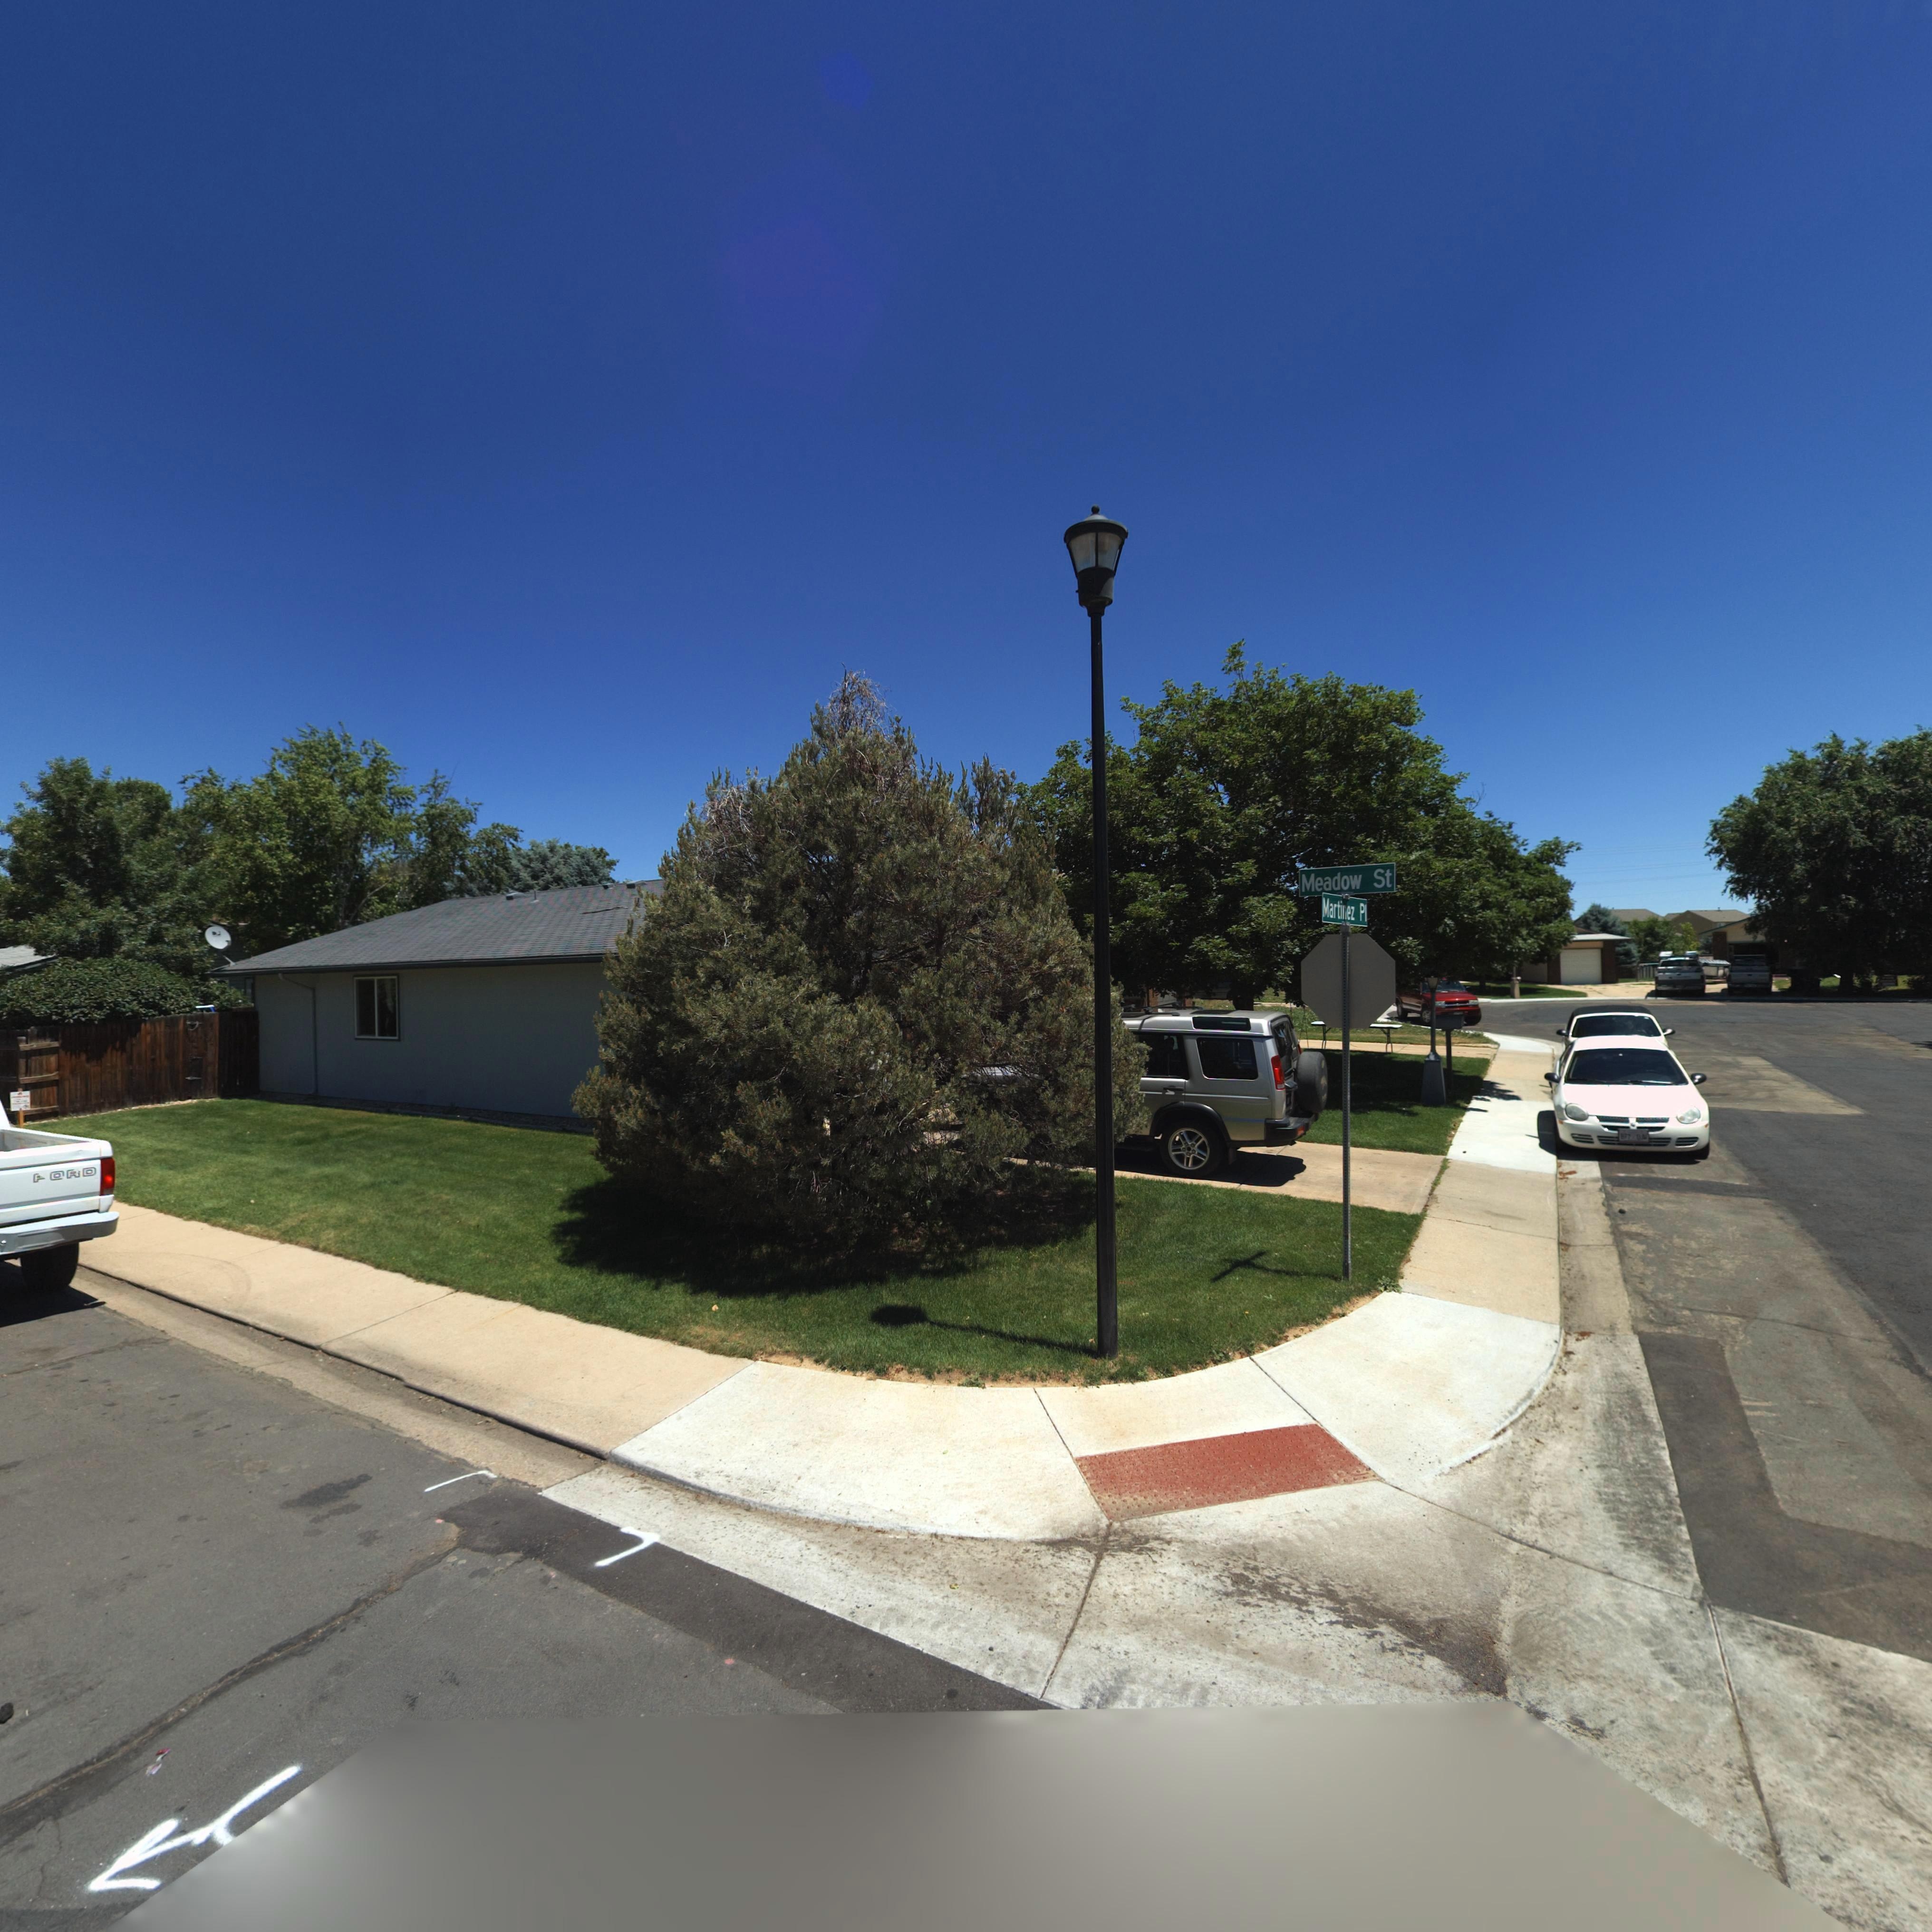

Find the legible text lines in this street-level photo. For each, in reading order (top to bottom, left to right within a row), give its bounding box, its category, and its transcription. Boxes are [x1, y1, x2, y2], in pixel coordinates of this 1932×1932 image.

[1301, 868, 1392, 892] StreetName: Meadow St
[1322, 897, 1367, 922] StreetName: Martinez Pl